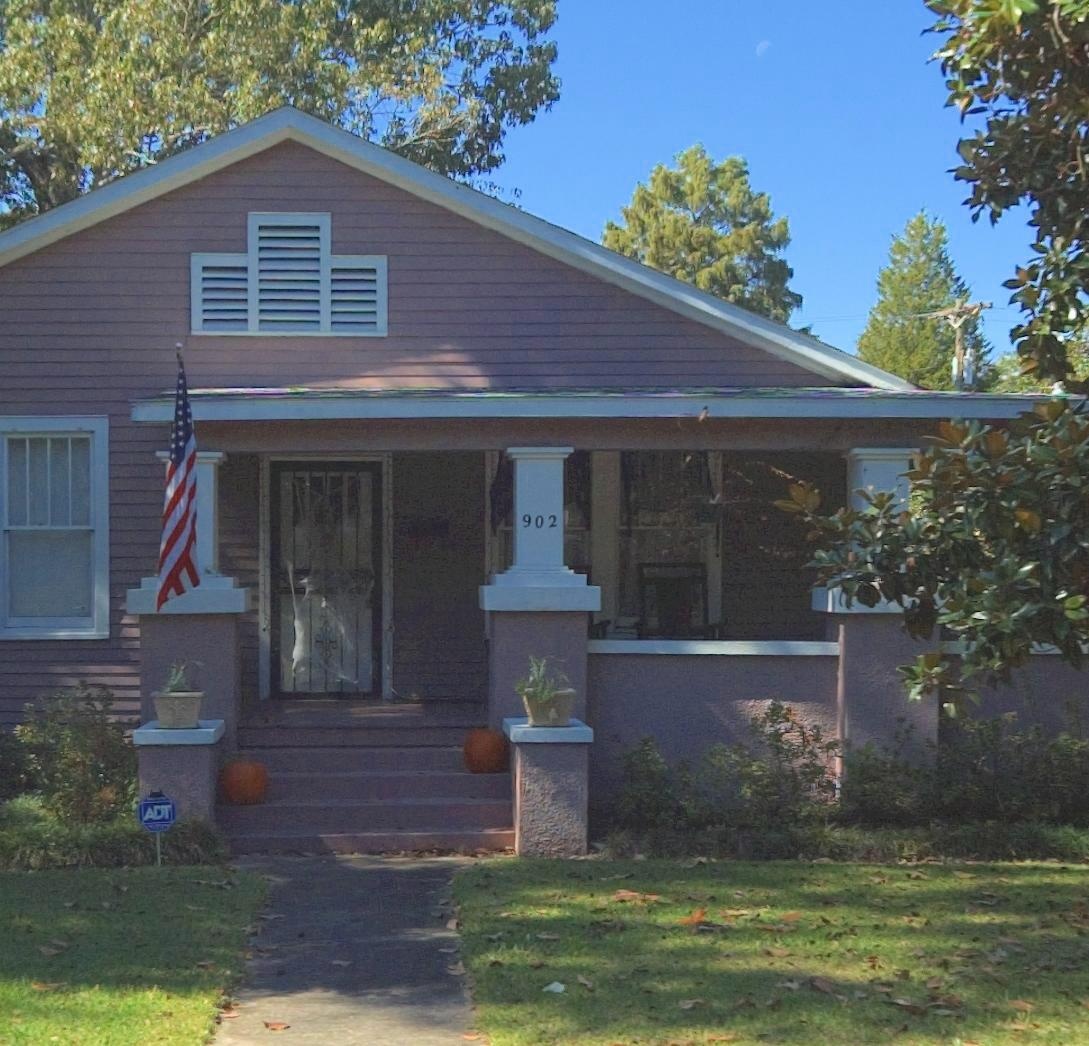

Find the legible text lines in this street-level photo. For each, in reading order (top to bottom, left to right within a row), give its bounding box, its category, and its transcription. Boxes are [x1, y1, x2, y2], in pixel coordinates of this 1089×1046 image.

[521, 512, 559, 530] StreetNumber: 902
[140, 803, 173, 823] None: ADT